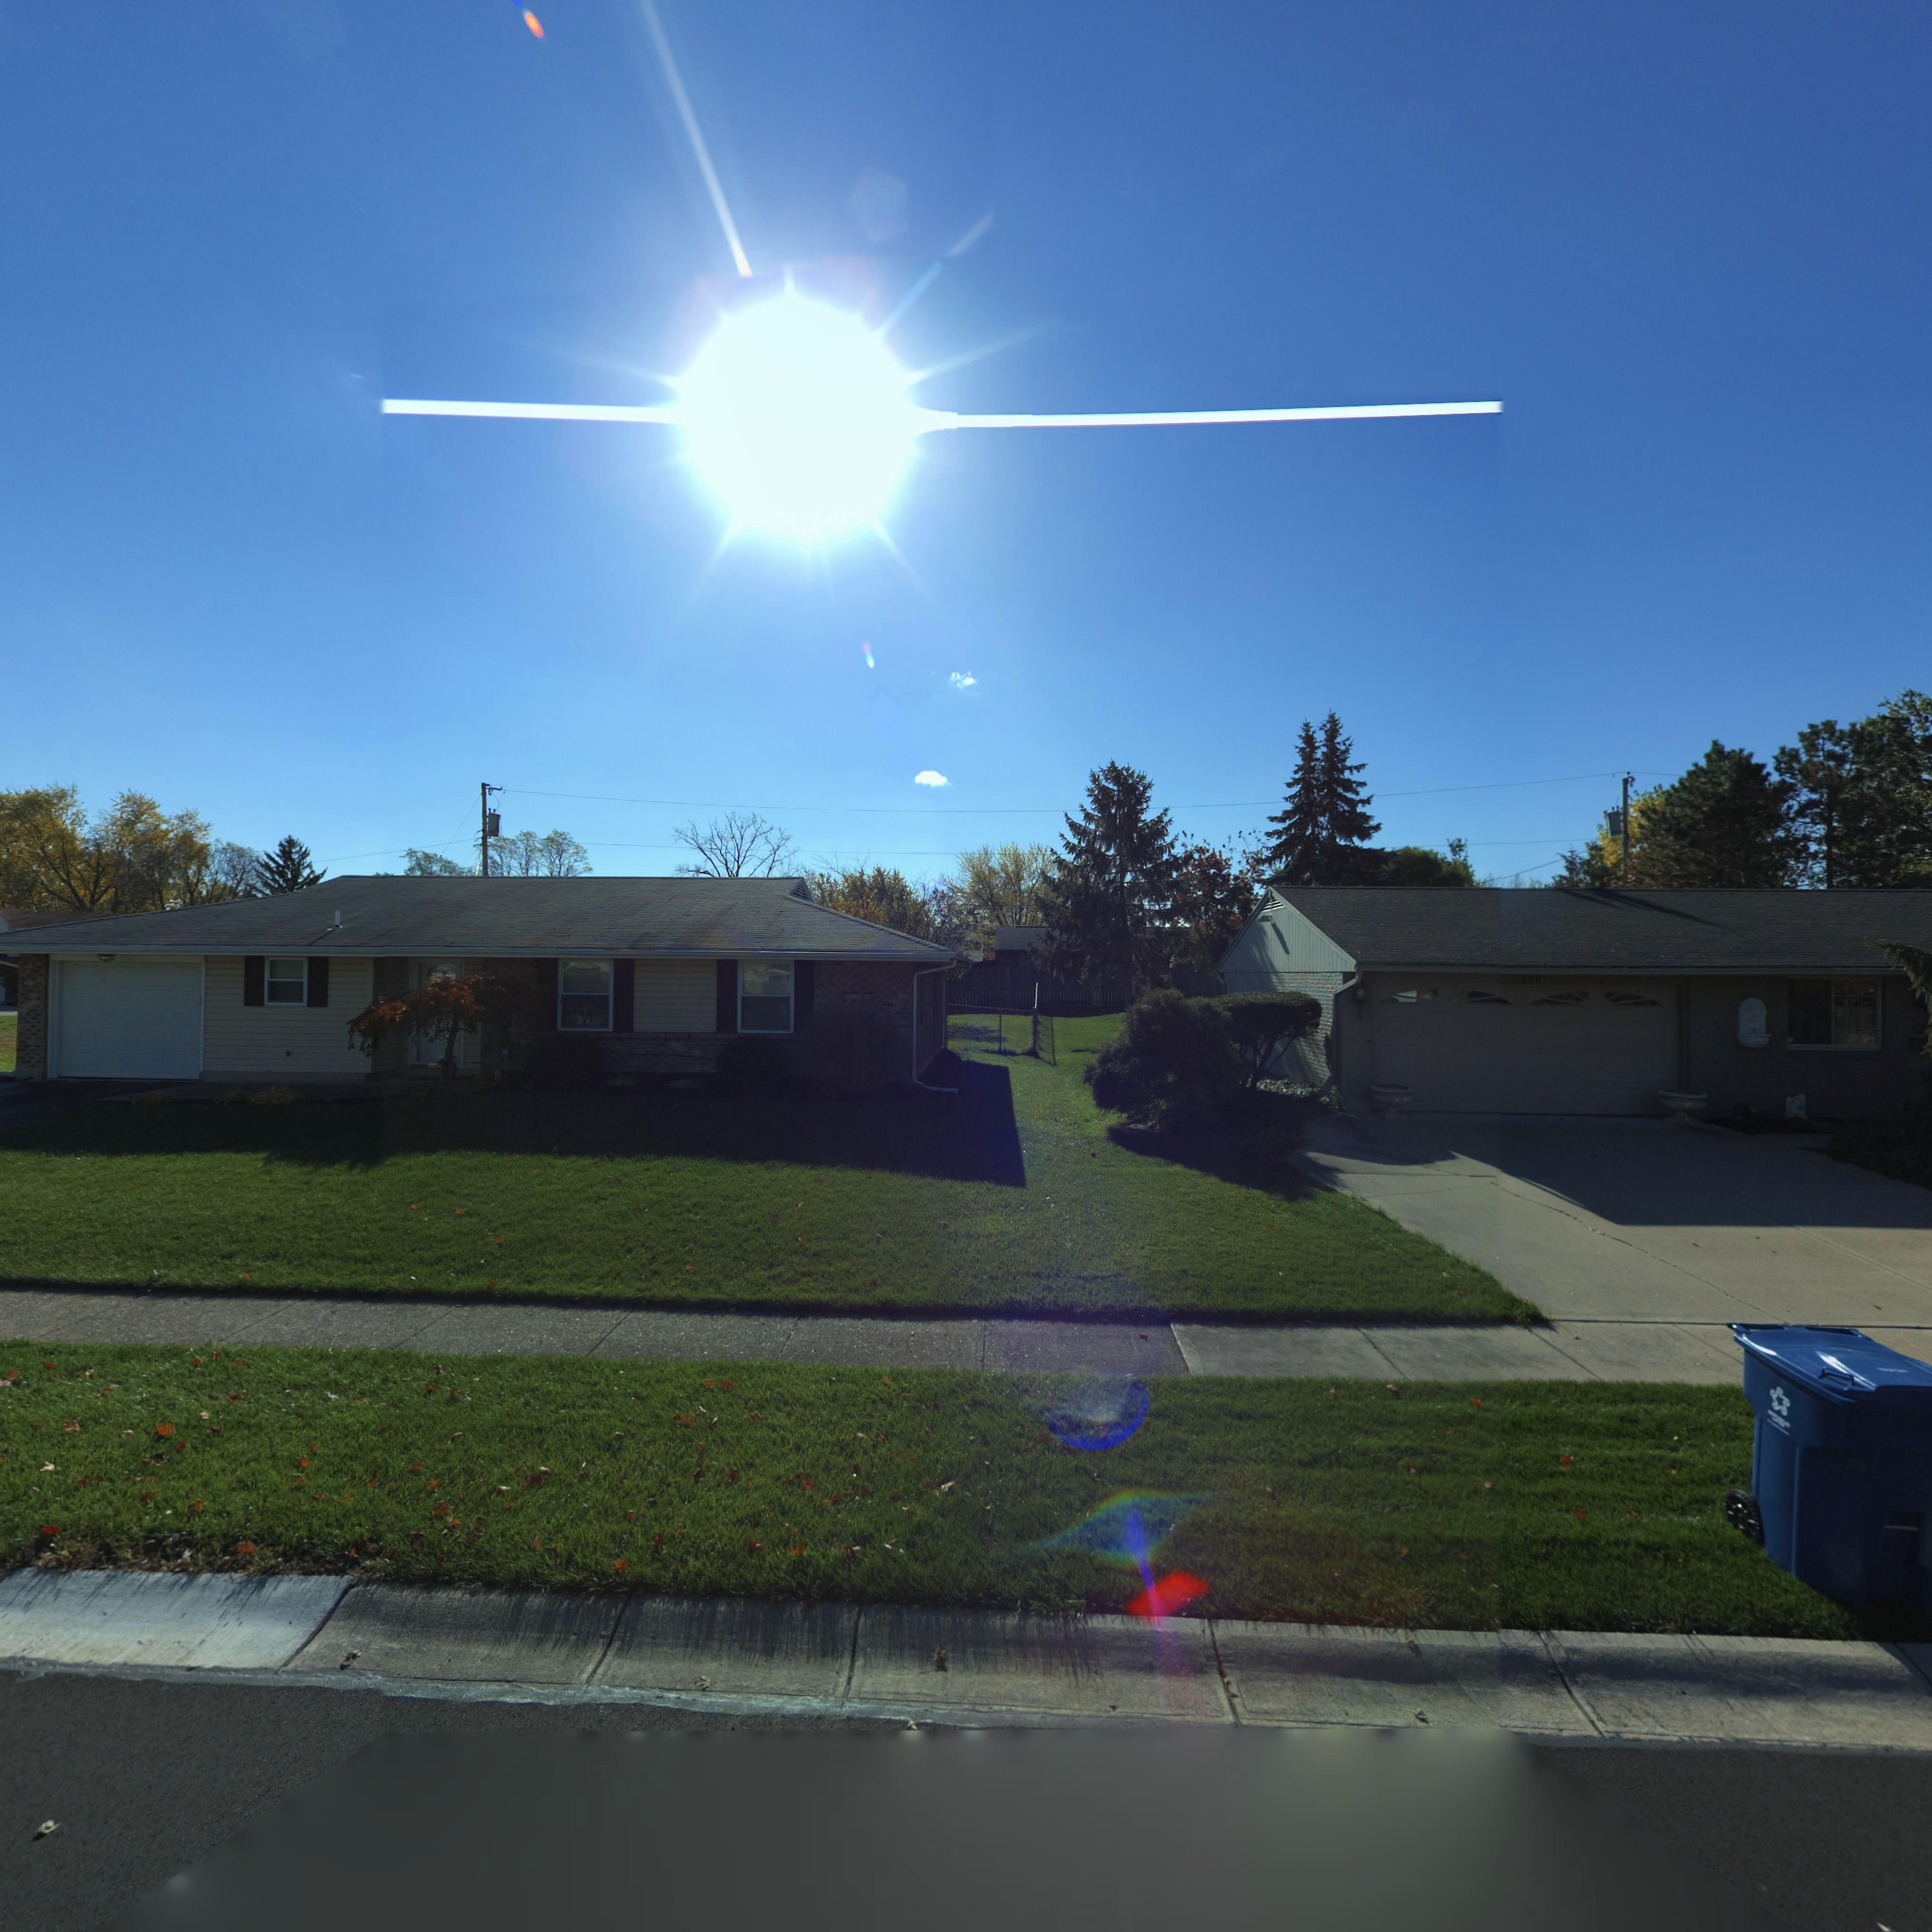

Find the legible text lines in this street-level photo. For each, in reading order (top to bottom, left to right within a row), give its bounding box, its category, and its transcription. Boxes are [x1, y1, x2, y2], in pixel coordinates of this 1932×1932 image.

[1520, 973, 1542, 984] StreetNumber: 250